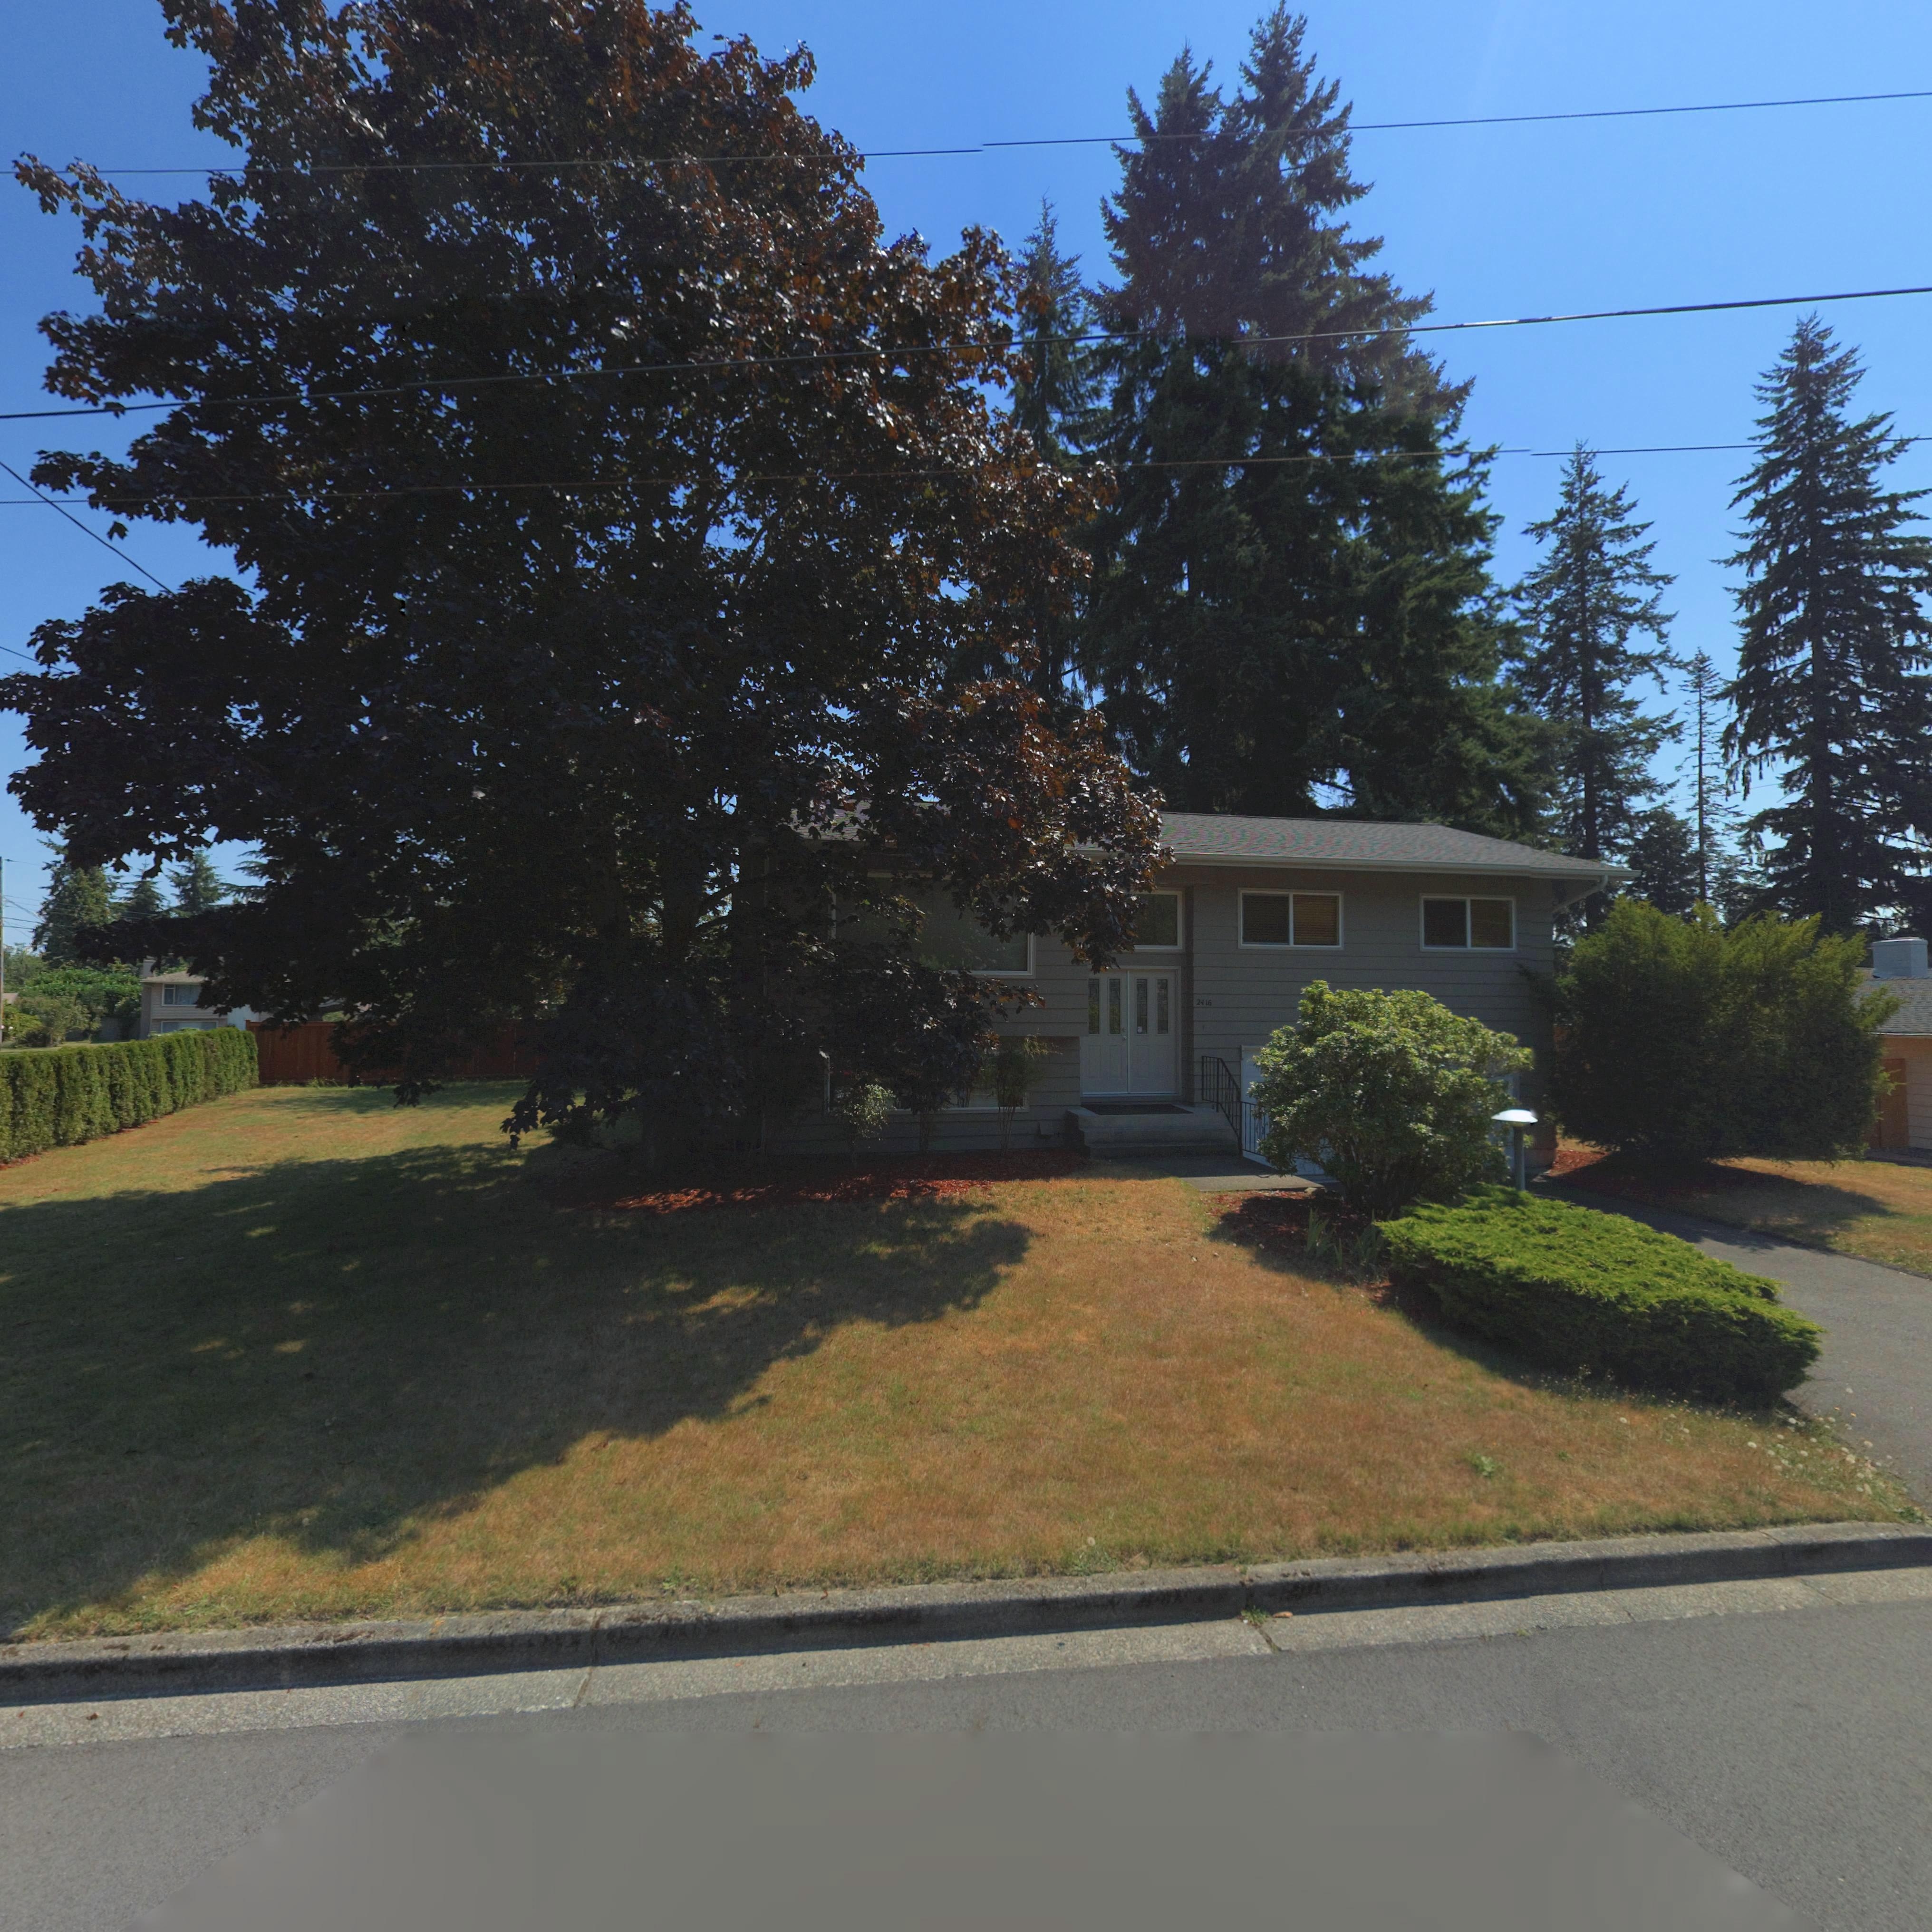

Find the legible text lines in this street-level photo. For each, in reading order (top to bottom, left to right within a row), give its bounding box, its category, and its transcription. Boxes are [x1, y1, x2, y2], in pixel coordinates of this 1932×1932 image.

[1196, 998, 1212, 1007] StreetNumber: 2416